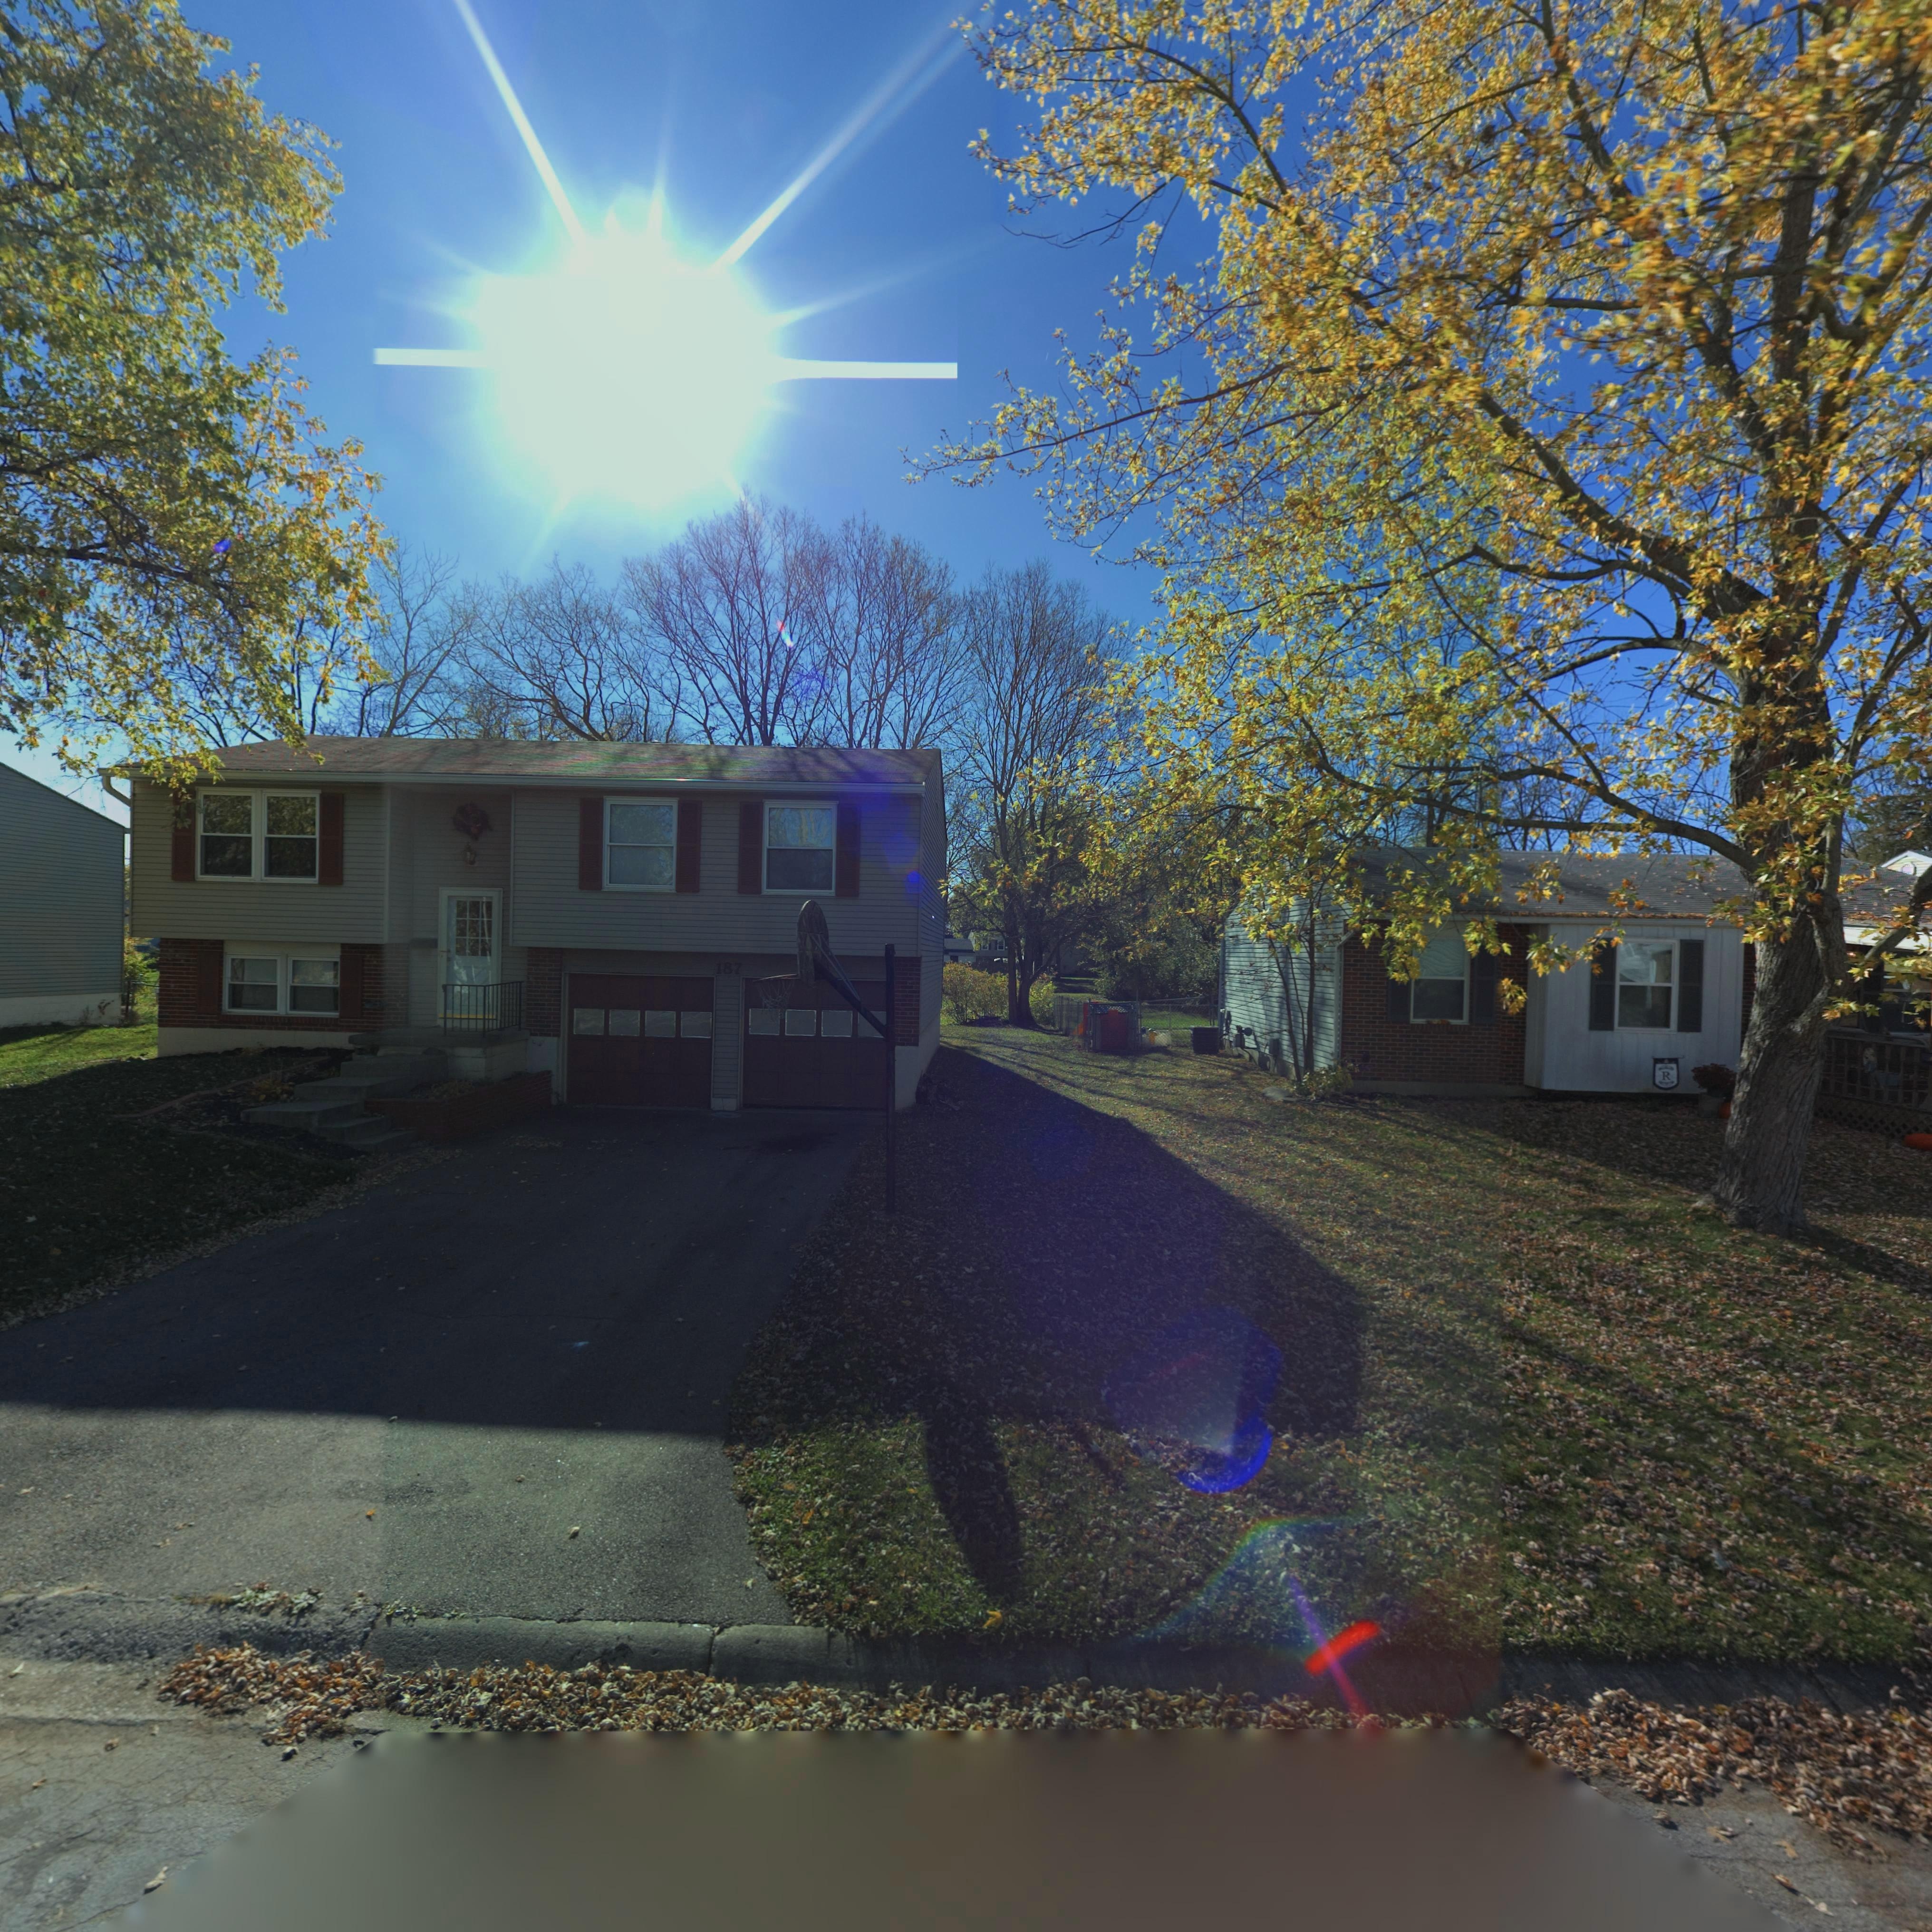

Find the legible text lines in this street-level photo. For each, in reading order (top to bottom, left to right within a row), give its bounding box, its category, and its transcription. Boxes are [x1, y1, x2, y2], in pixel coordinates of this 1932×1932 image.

[715, 962, 743, 976] StreetNumber: 187